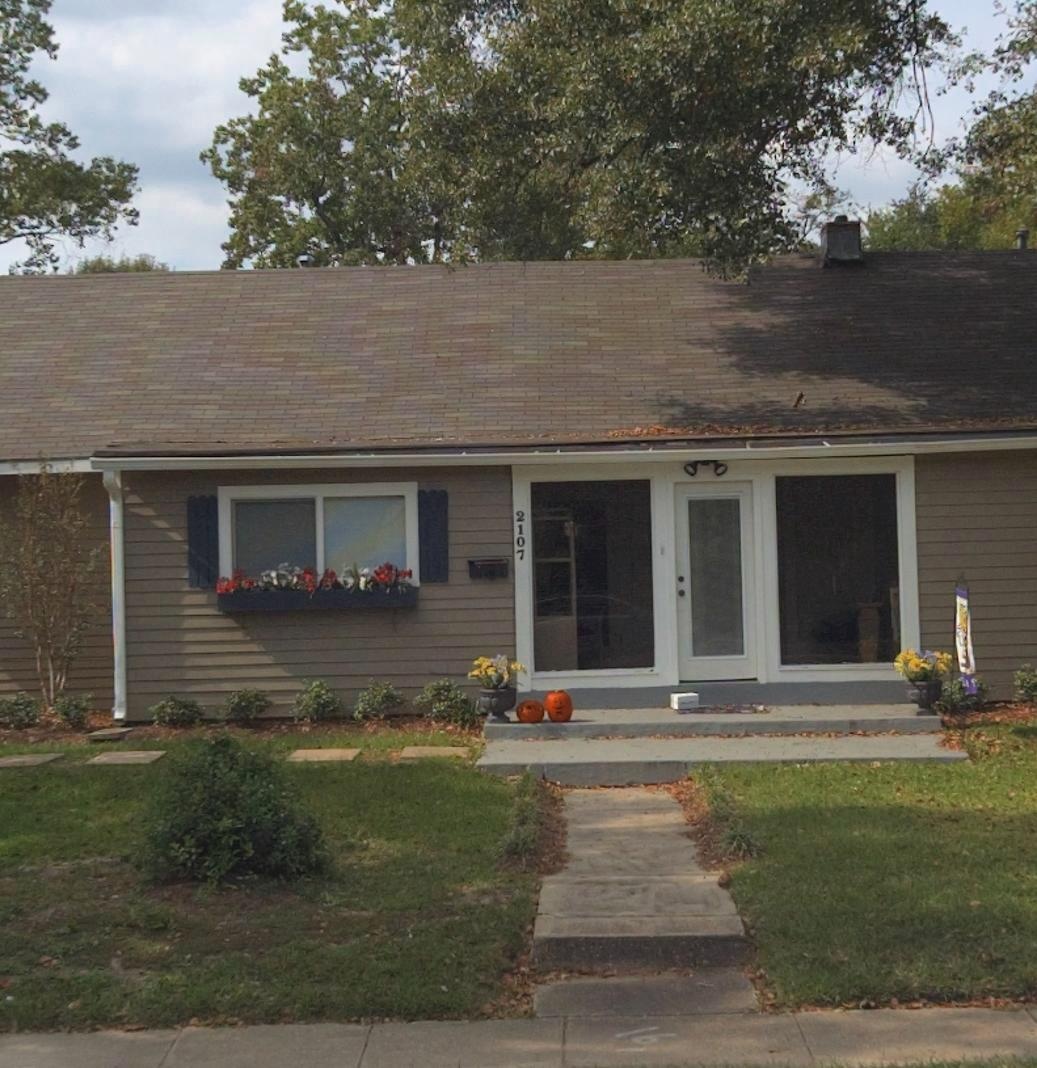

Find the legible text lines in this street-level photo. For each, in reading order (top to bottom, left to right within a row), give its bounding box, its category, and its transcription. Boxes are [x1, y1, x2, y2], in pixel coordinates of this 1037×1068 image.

[514, 508, 527, 562] StreetNumber: 2107